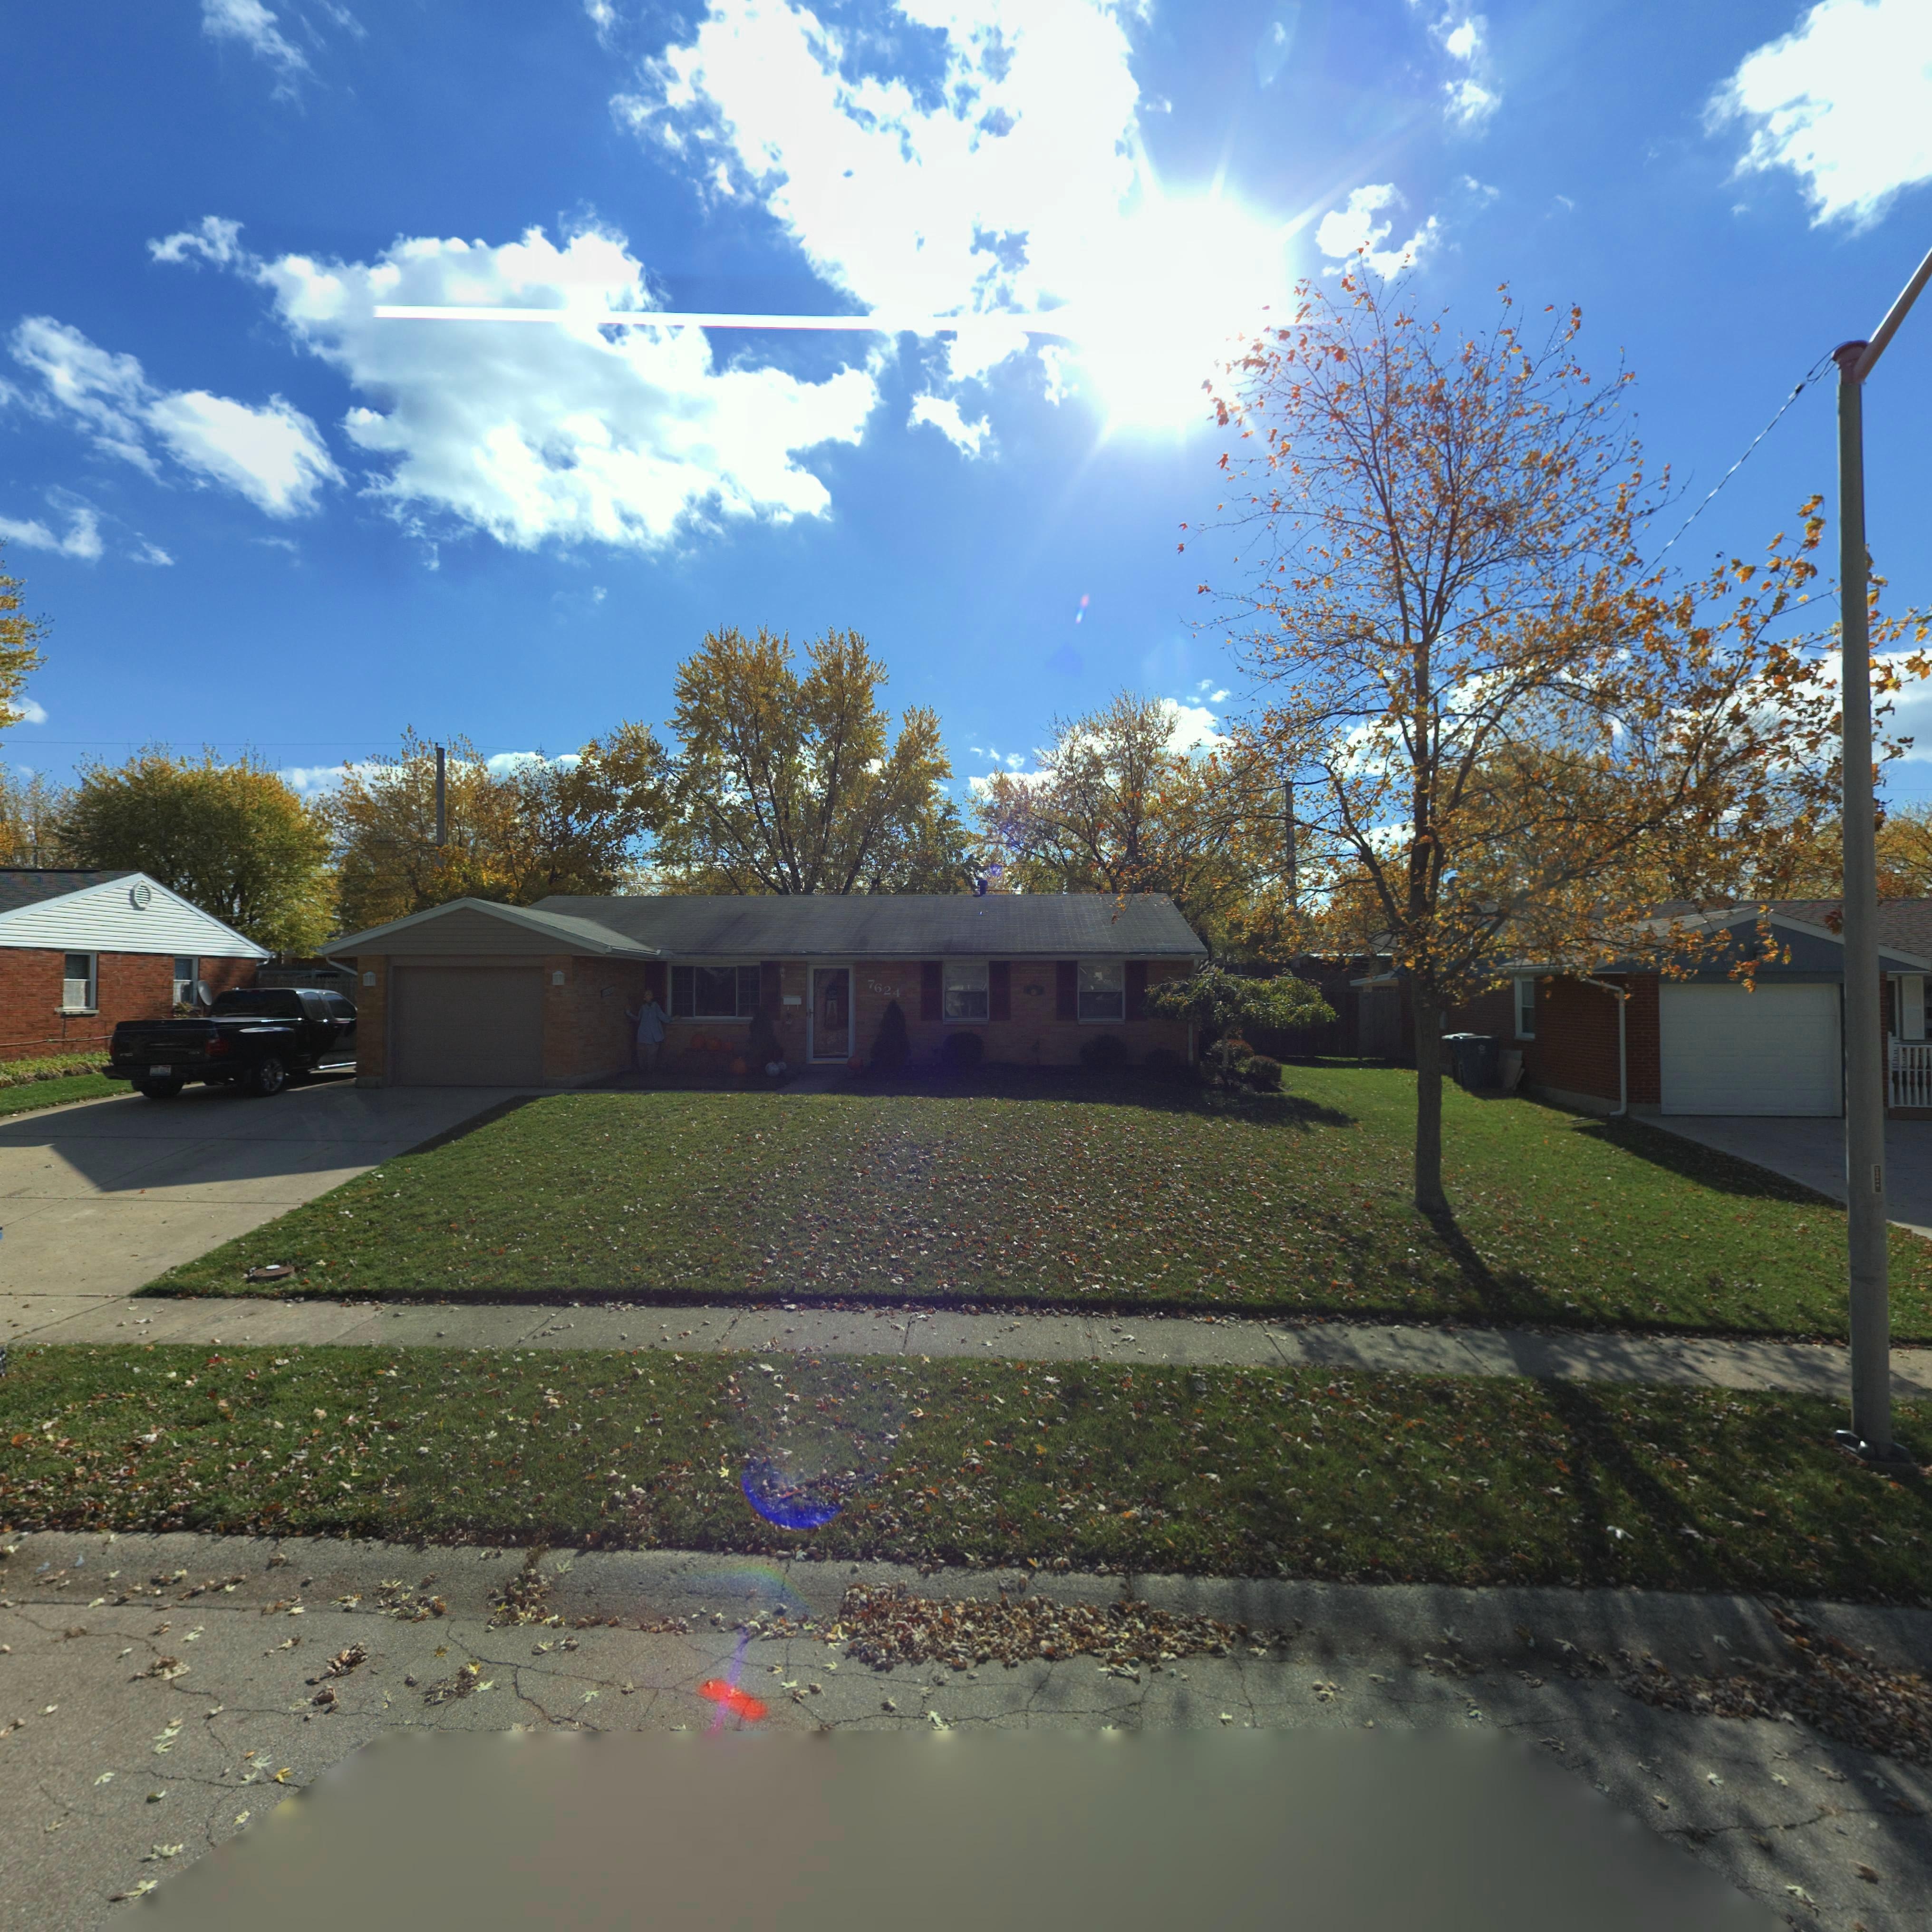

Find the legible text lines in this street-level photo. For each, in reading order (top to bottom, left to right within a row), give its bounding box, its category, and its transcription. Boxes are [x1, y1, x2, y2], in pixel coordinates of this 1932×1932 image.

[867, 979, 902, 998] StreetNumber: 7624